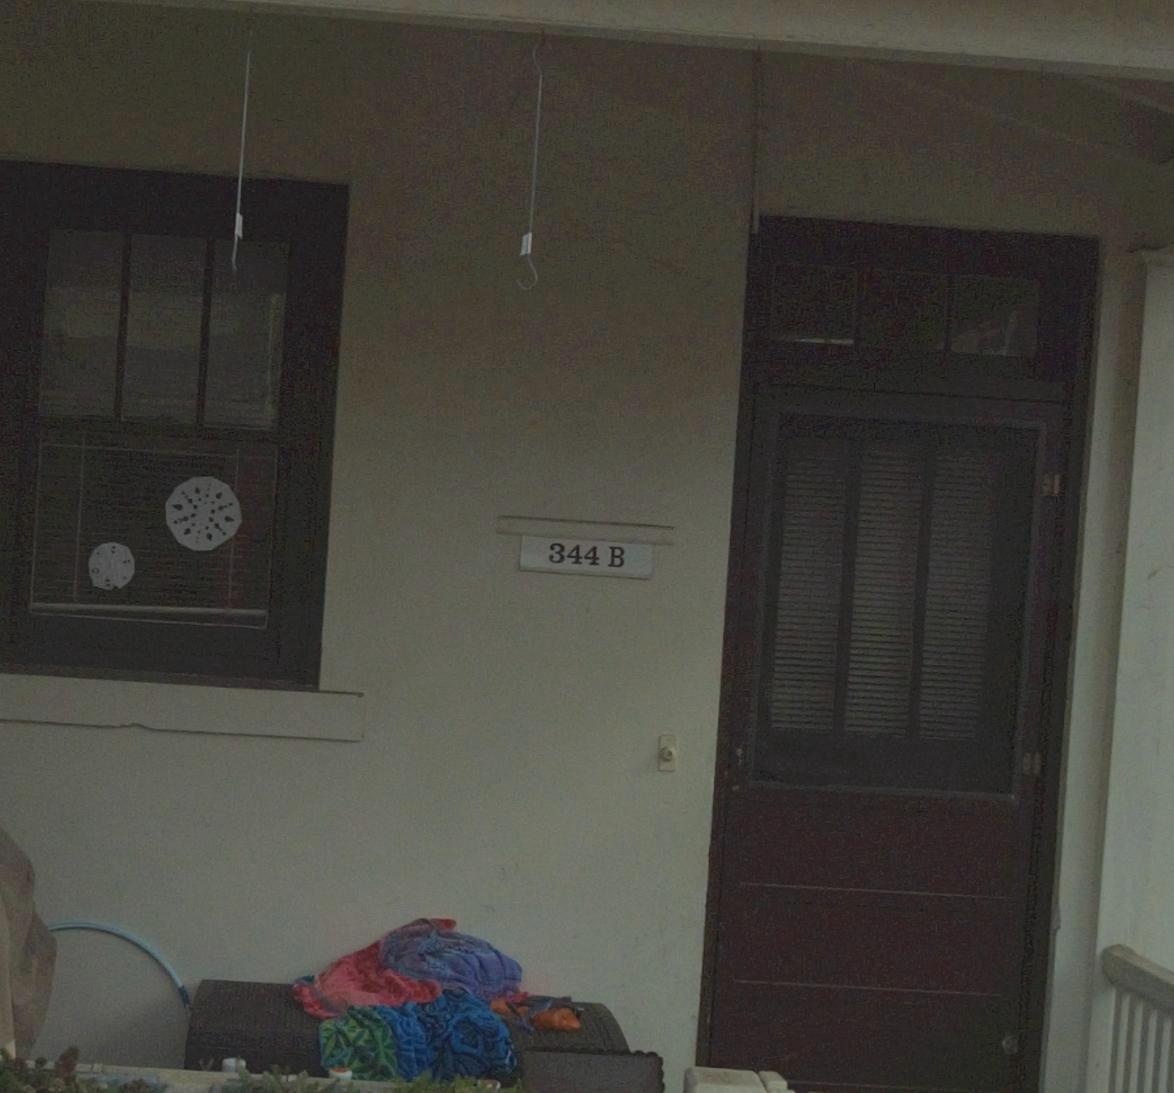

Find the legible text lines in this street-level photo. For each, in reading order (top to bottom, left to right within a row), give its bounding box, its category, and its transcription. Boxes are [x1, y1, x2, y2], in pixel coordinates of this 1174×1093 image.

[546, 541, 627, 569] StreetNumber: 344B